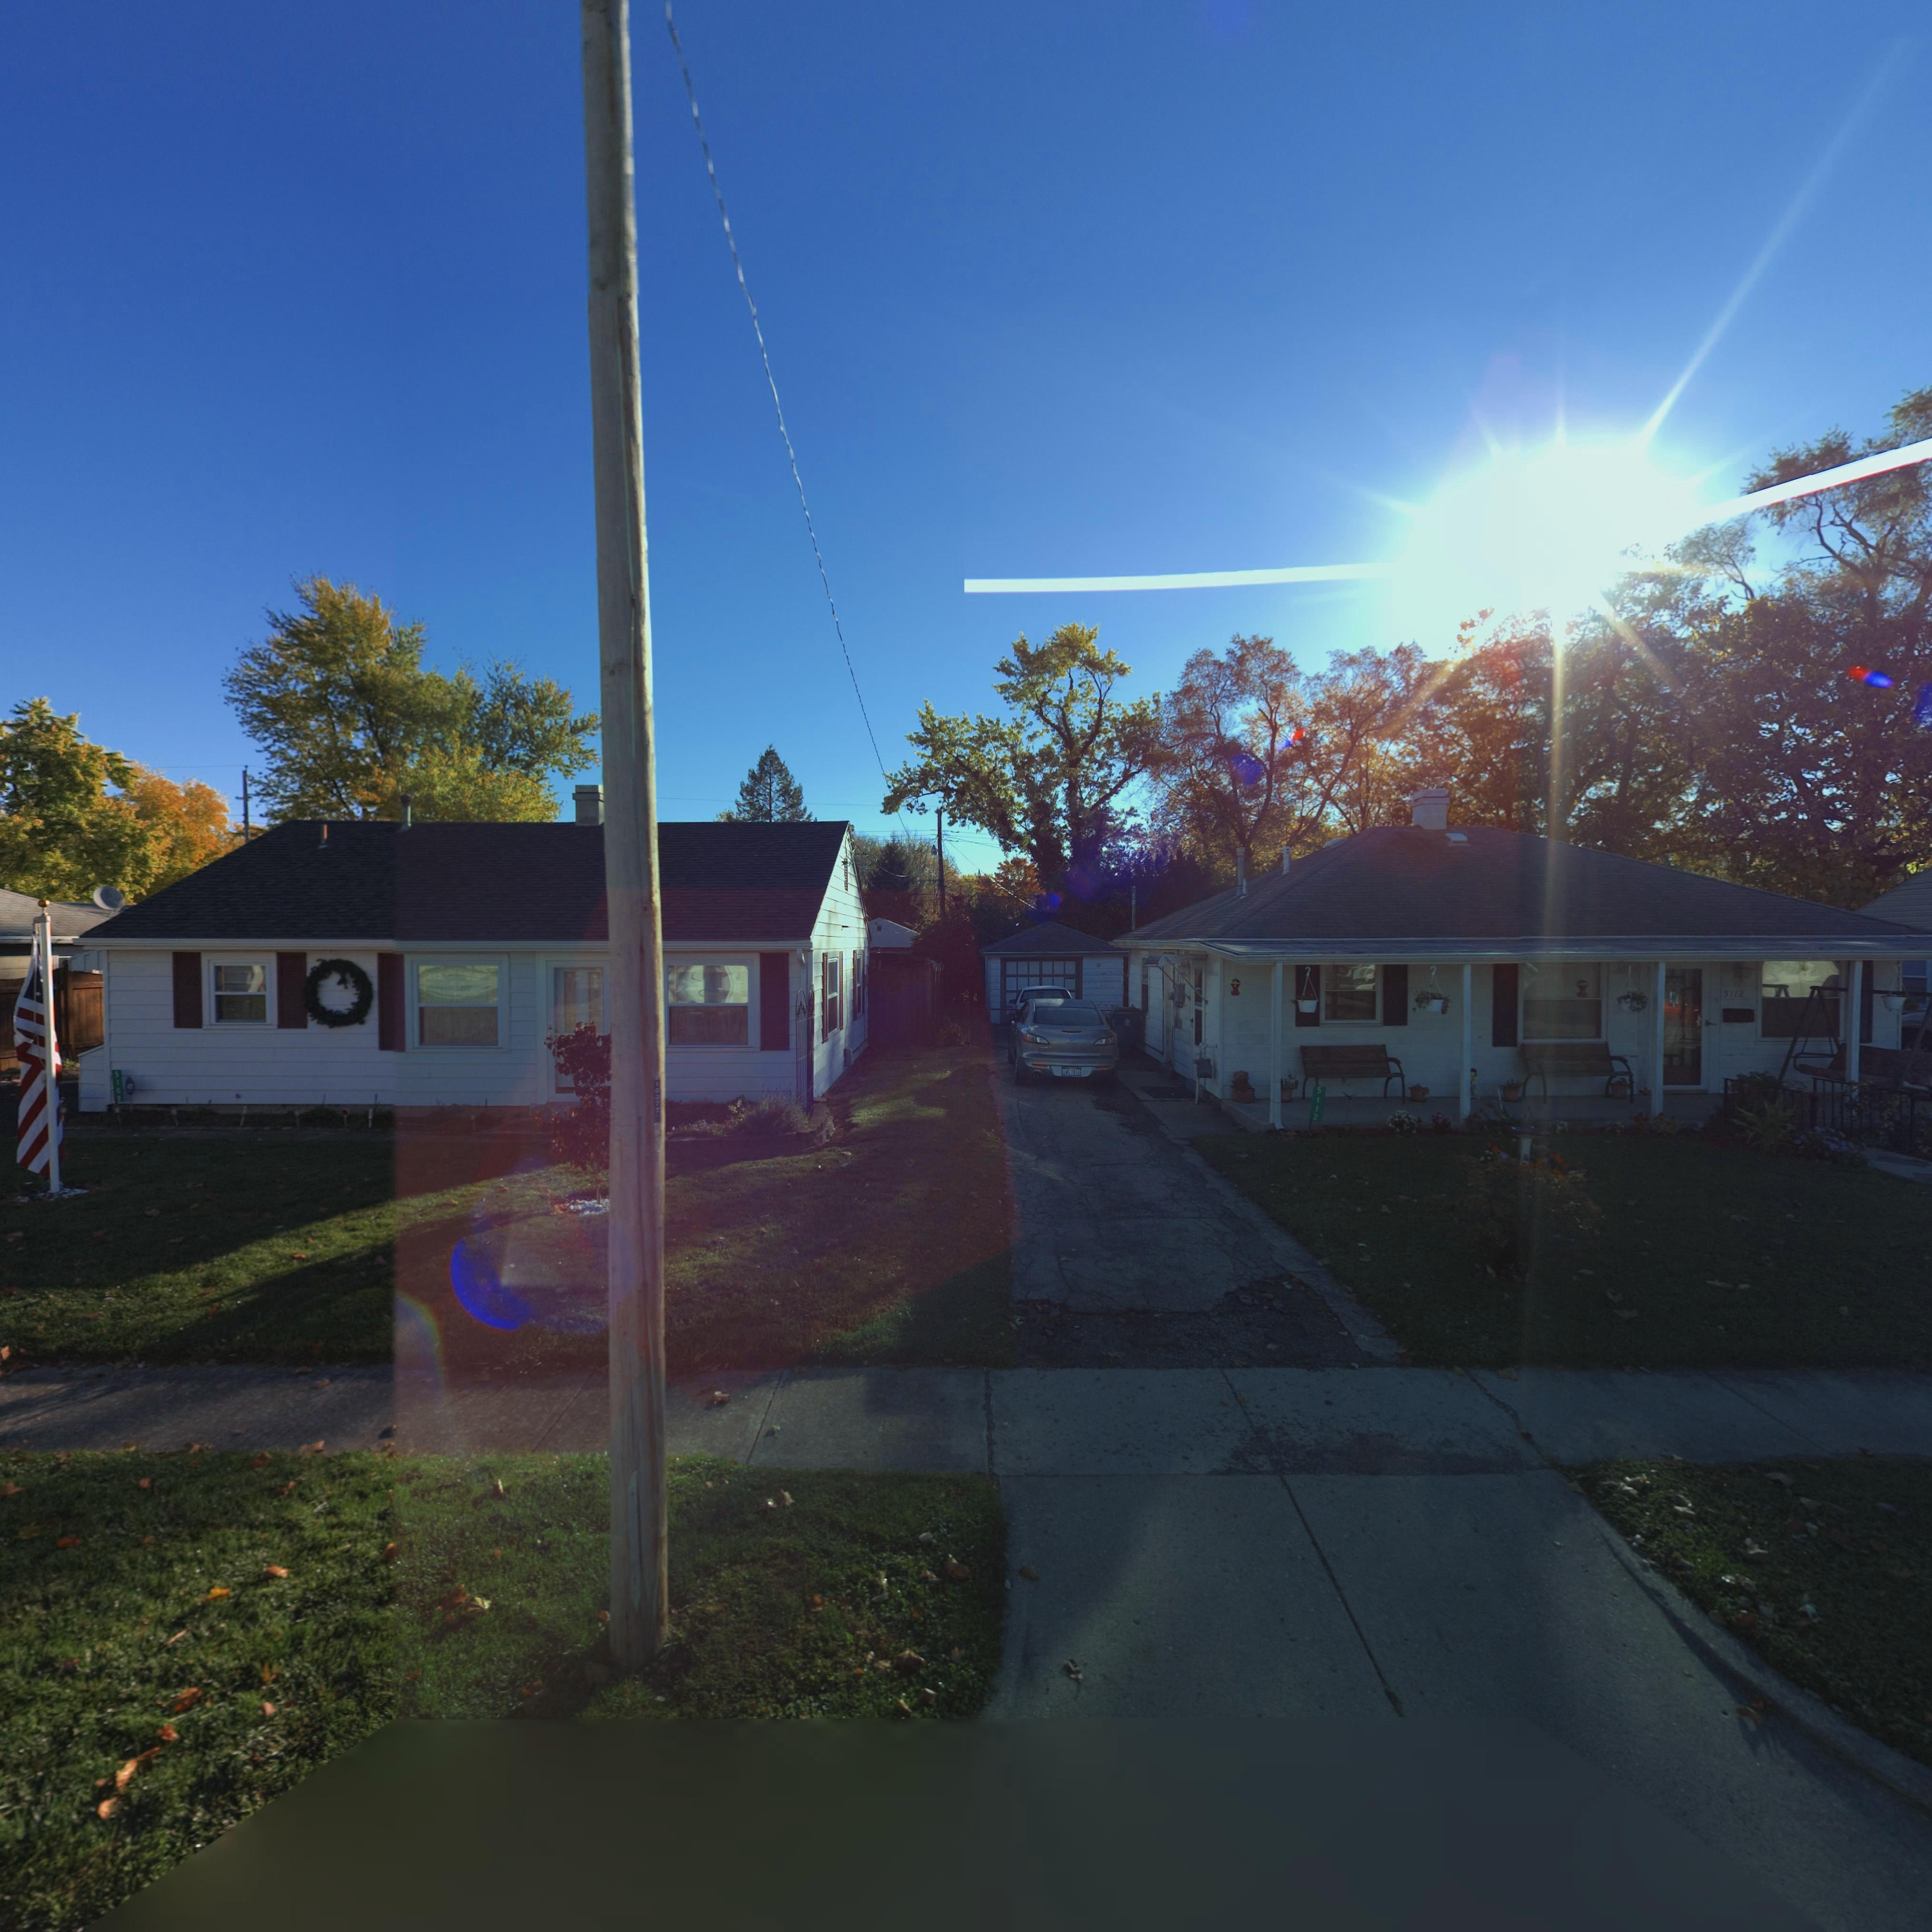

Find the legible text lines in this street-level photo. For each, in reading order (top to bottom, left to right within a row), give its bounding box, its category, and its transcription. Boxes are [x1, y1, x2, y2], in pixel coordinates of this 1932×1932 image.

[1722, 989, 1745, 998] StreetNumber: 5112
[114, 1071, 122, 1103] StreetNumber: 5104
[1312, 1086, 1323, 1121] StreetNumber: 5112